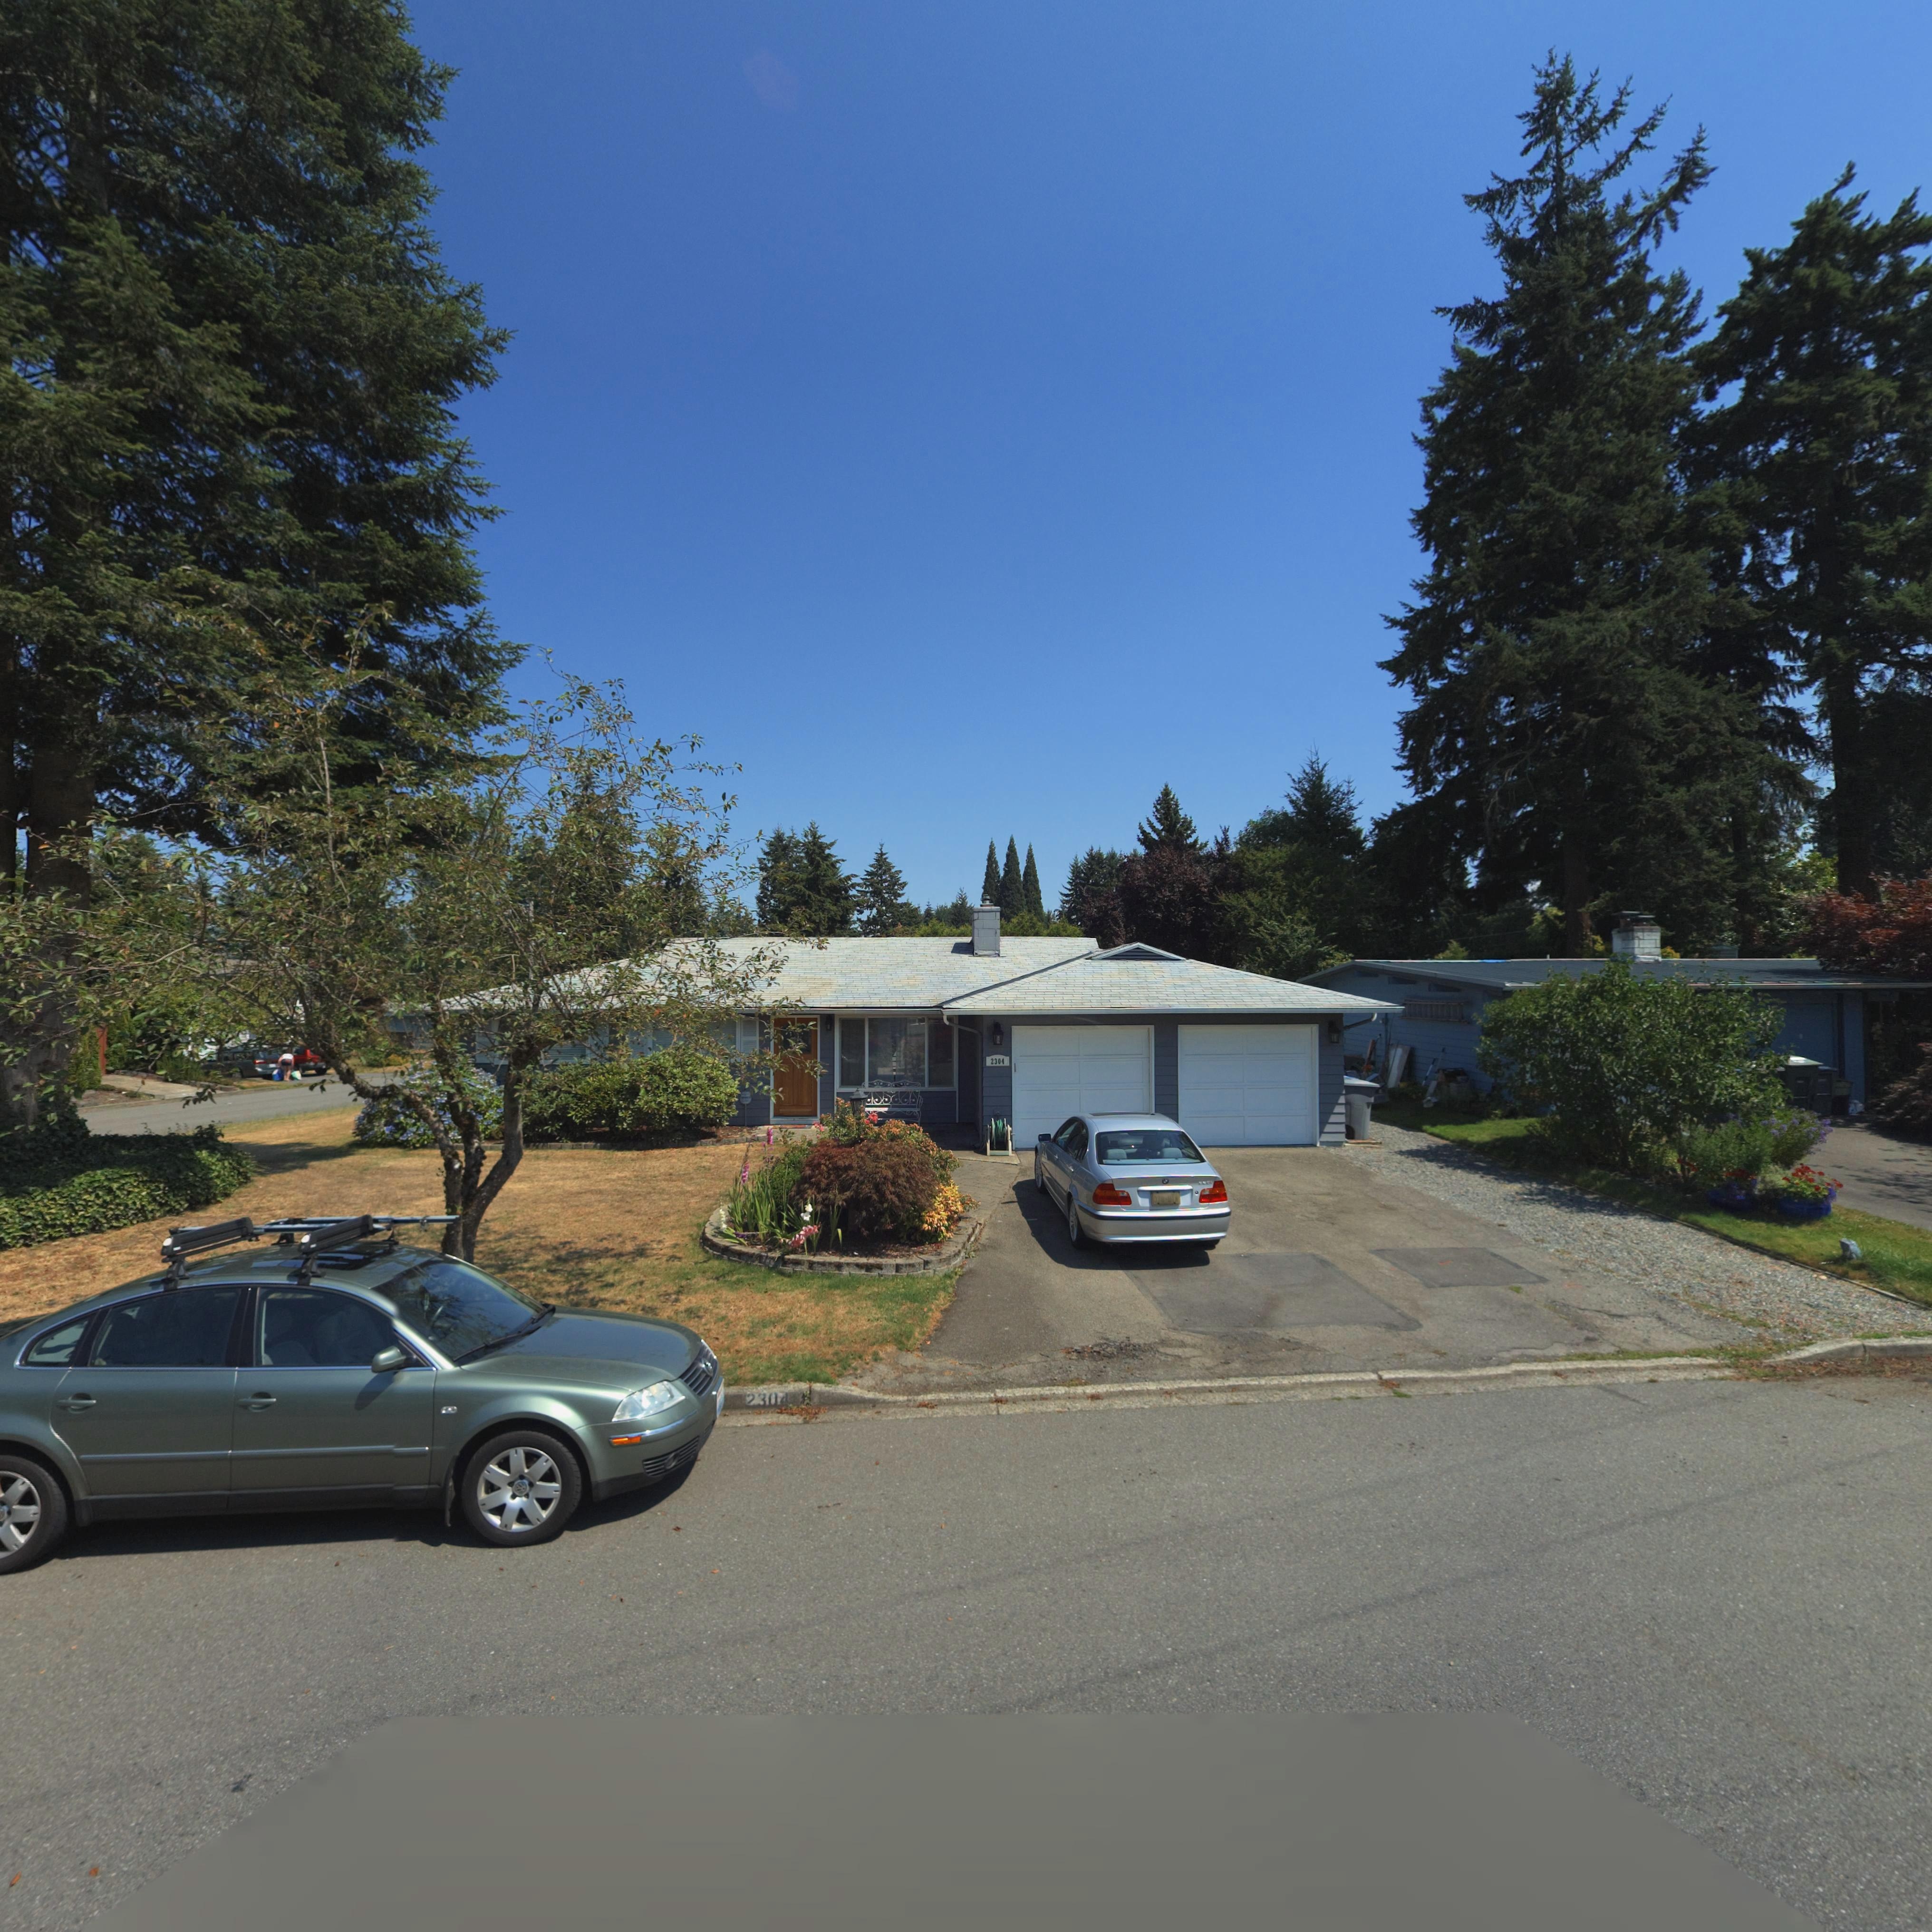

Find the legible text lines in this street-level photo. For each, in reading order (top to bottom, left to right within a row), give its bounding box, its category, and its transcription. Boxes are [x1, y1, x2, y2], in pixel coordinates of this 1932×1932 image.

[987, 1057, 1009, 1065] StreetNumber: 2304